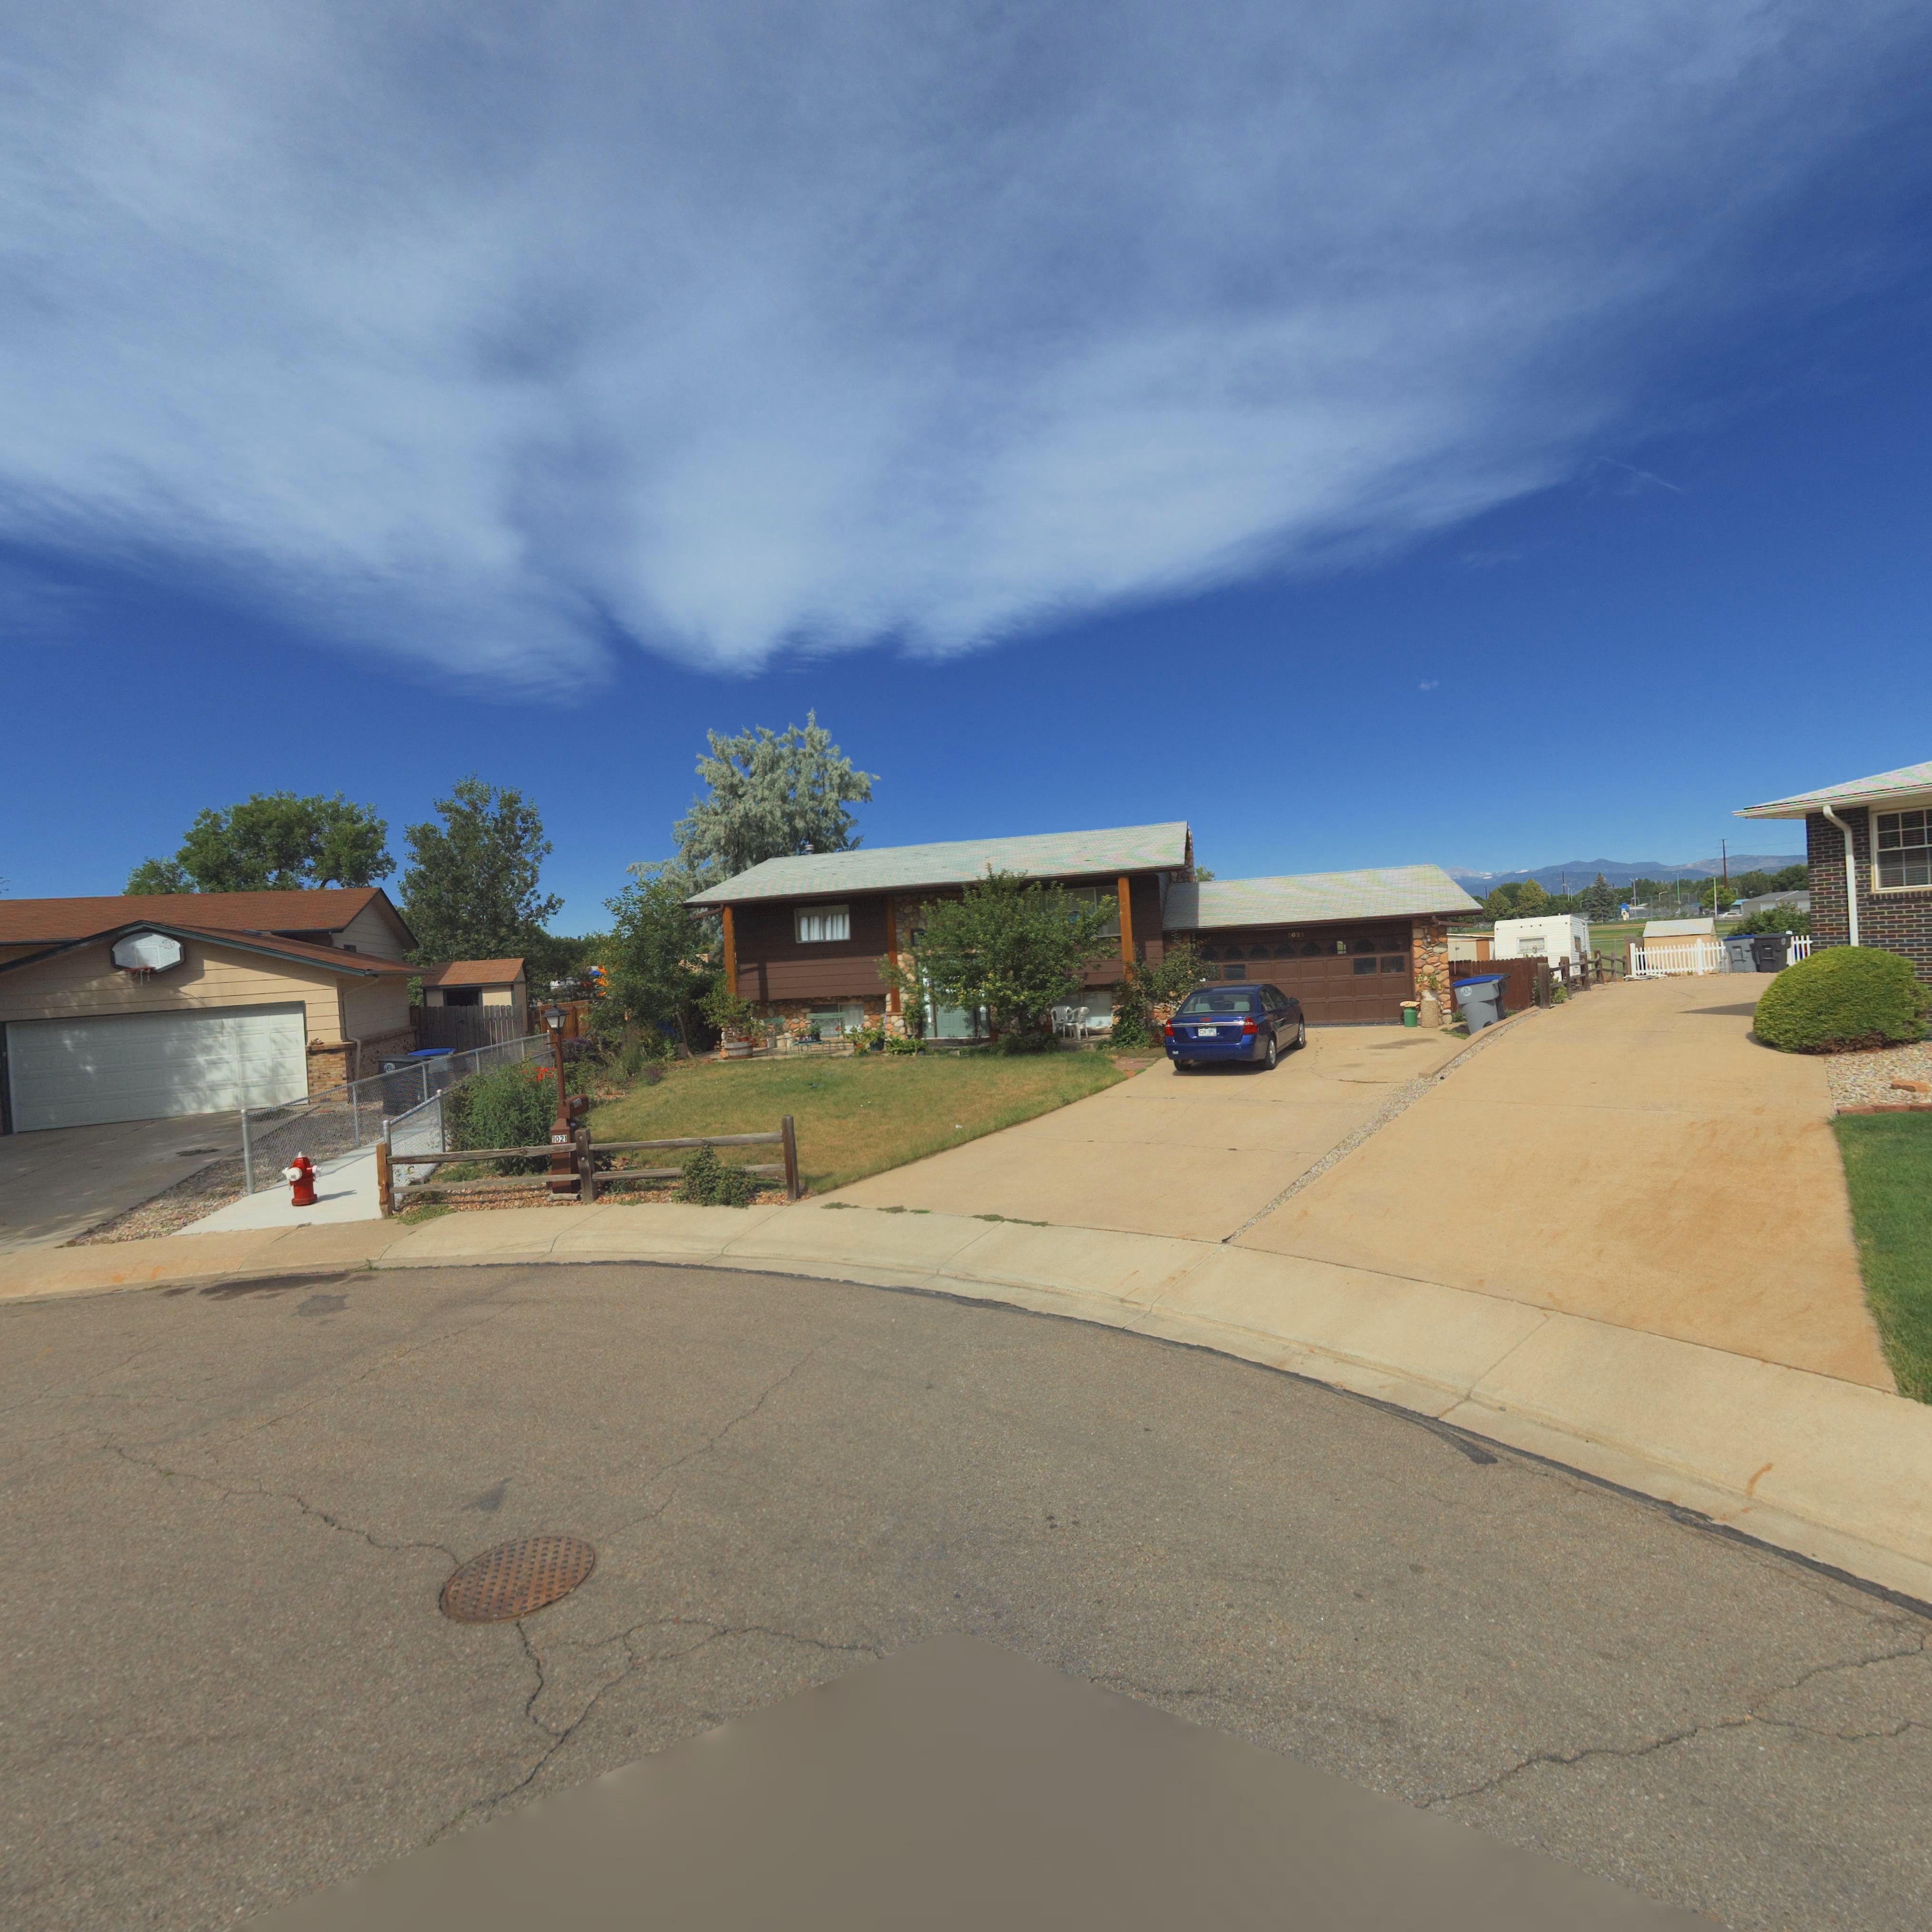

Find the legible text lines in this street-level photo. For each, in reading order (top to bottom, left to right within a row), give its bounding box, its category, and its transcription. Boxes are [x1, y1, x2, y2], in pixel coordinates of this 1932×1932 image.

[1287, 931, 1304, 938] StreetNumber: 1021
[572, 1098, 581, 1108] StreetNumber: *02*
[552, 1135, 566, 1142] StreetNumber: 1021